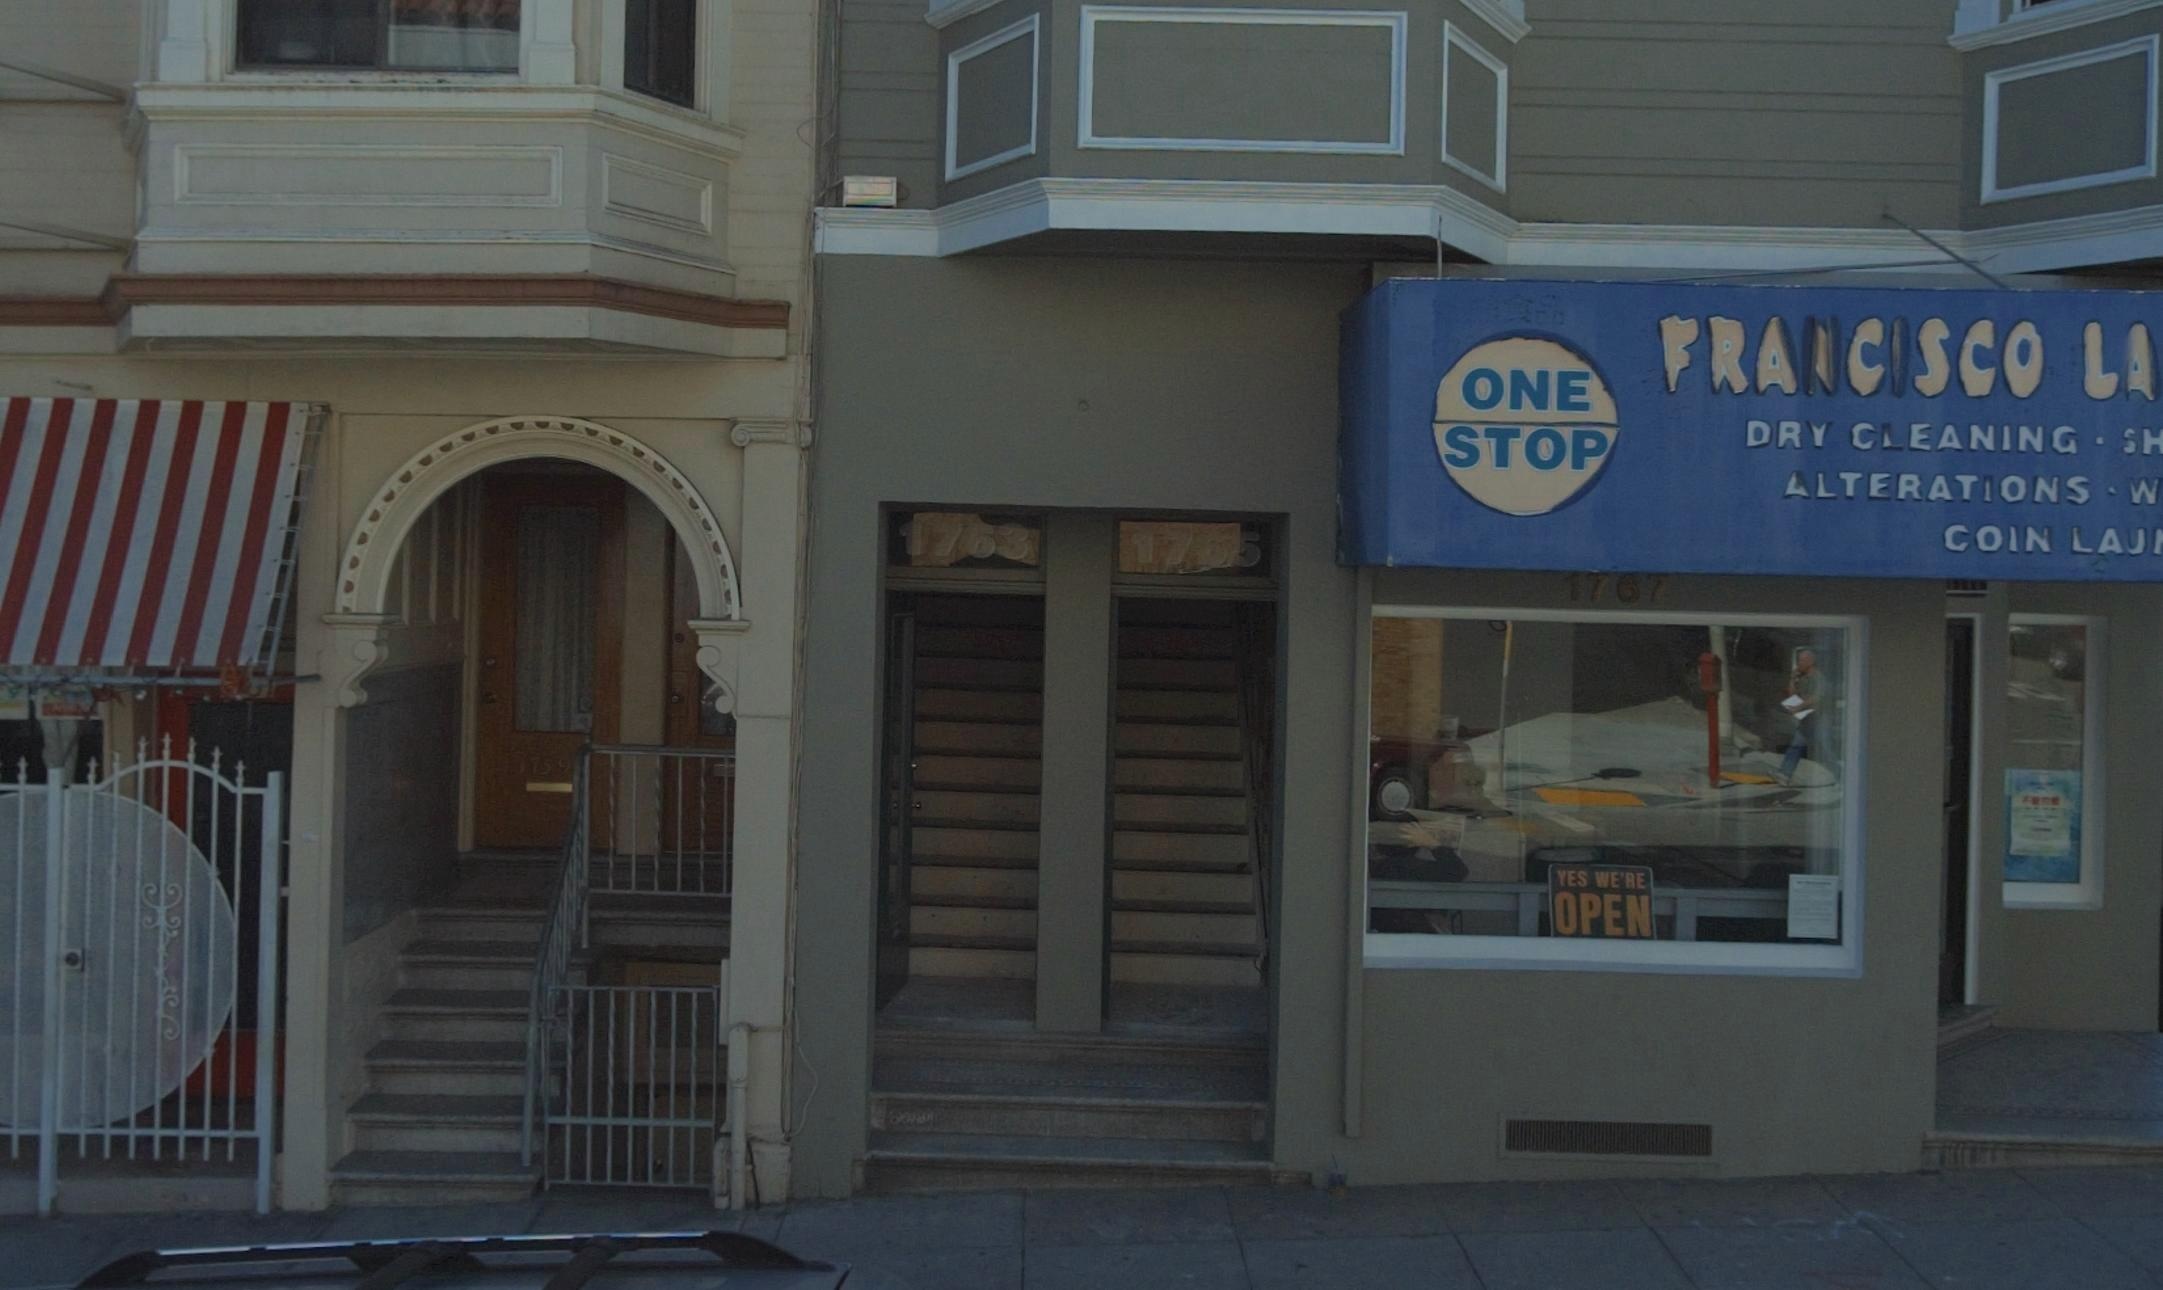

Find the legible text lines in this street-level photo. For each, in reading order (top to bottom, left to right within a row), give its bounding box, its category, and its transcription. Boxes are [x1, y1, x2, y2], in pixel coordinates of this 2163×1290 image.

[1653, 313, 2159, 404] None: FRANCISCO LA
[1456, 365, 1595, 415] BusinessName: ONE
[1440, 424, 1611, 473] BusinessName: STOP
[1744, 418, 2139, 455] None: DRY CLEANING*S
[1779, 467, 2162, 507] None: ALTERATIONS*W
[896, 517, 1032, 562] StreetNumber: 1763
[1128, 525, 1263, 569] StreetNumber: 1765
[1940, 521, 2149, 557] None: COIN LAU
[1565, 571, 1669, 605] StreetNumber: 1767
[515, 754, 573, 777] StreetNumber: 1759
[1553, 868, 1650, 893] None: YES WE'RE
[1551, 888, 1653, 938] None: OPEN